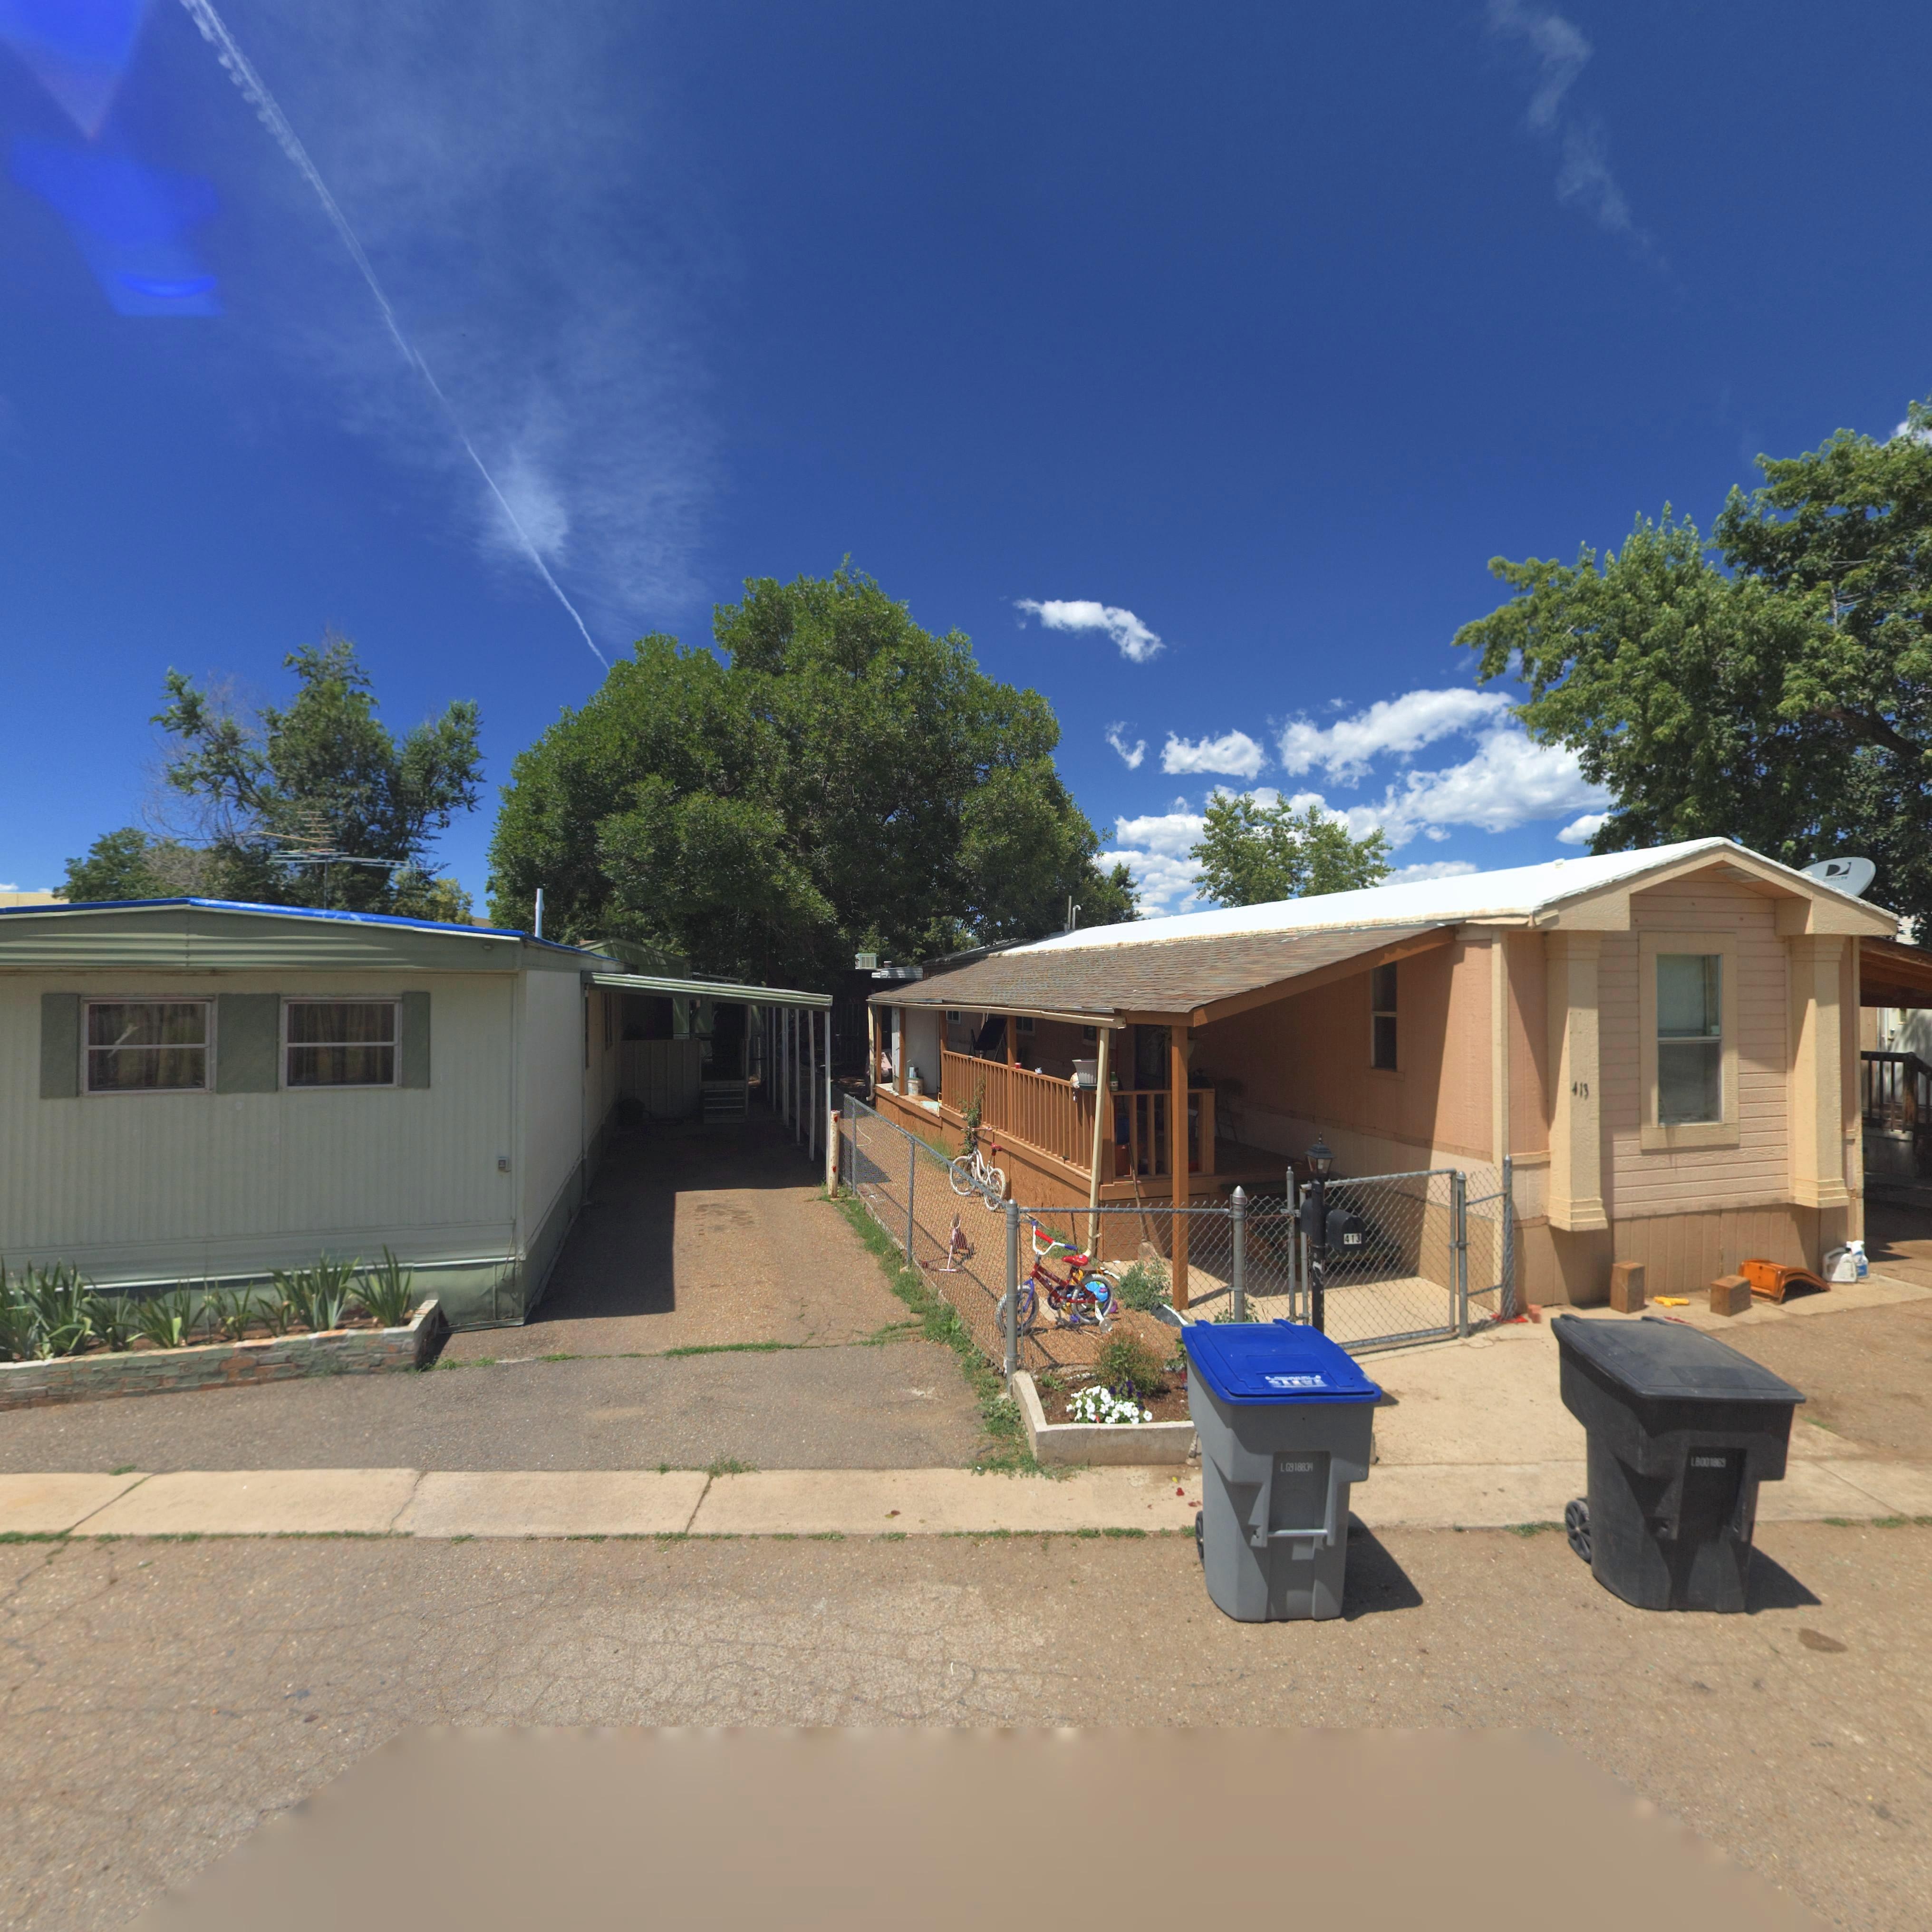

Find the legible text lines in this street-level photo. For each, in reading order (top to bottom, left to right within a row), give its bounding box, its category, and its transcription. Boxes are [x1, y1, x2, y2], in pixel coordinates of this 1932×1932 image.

[1572, 1080, 1588, 1096] StreetNumber: 413
[1344, 1233, 1360, 1243] StreetNumber: 413